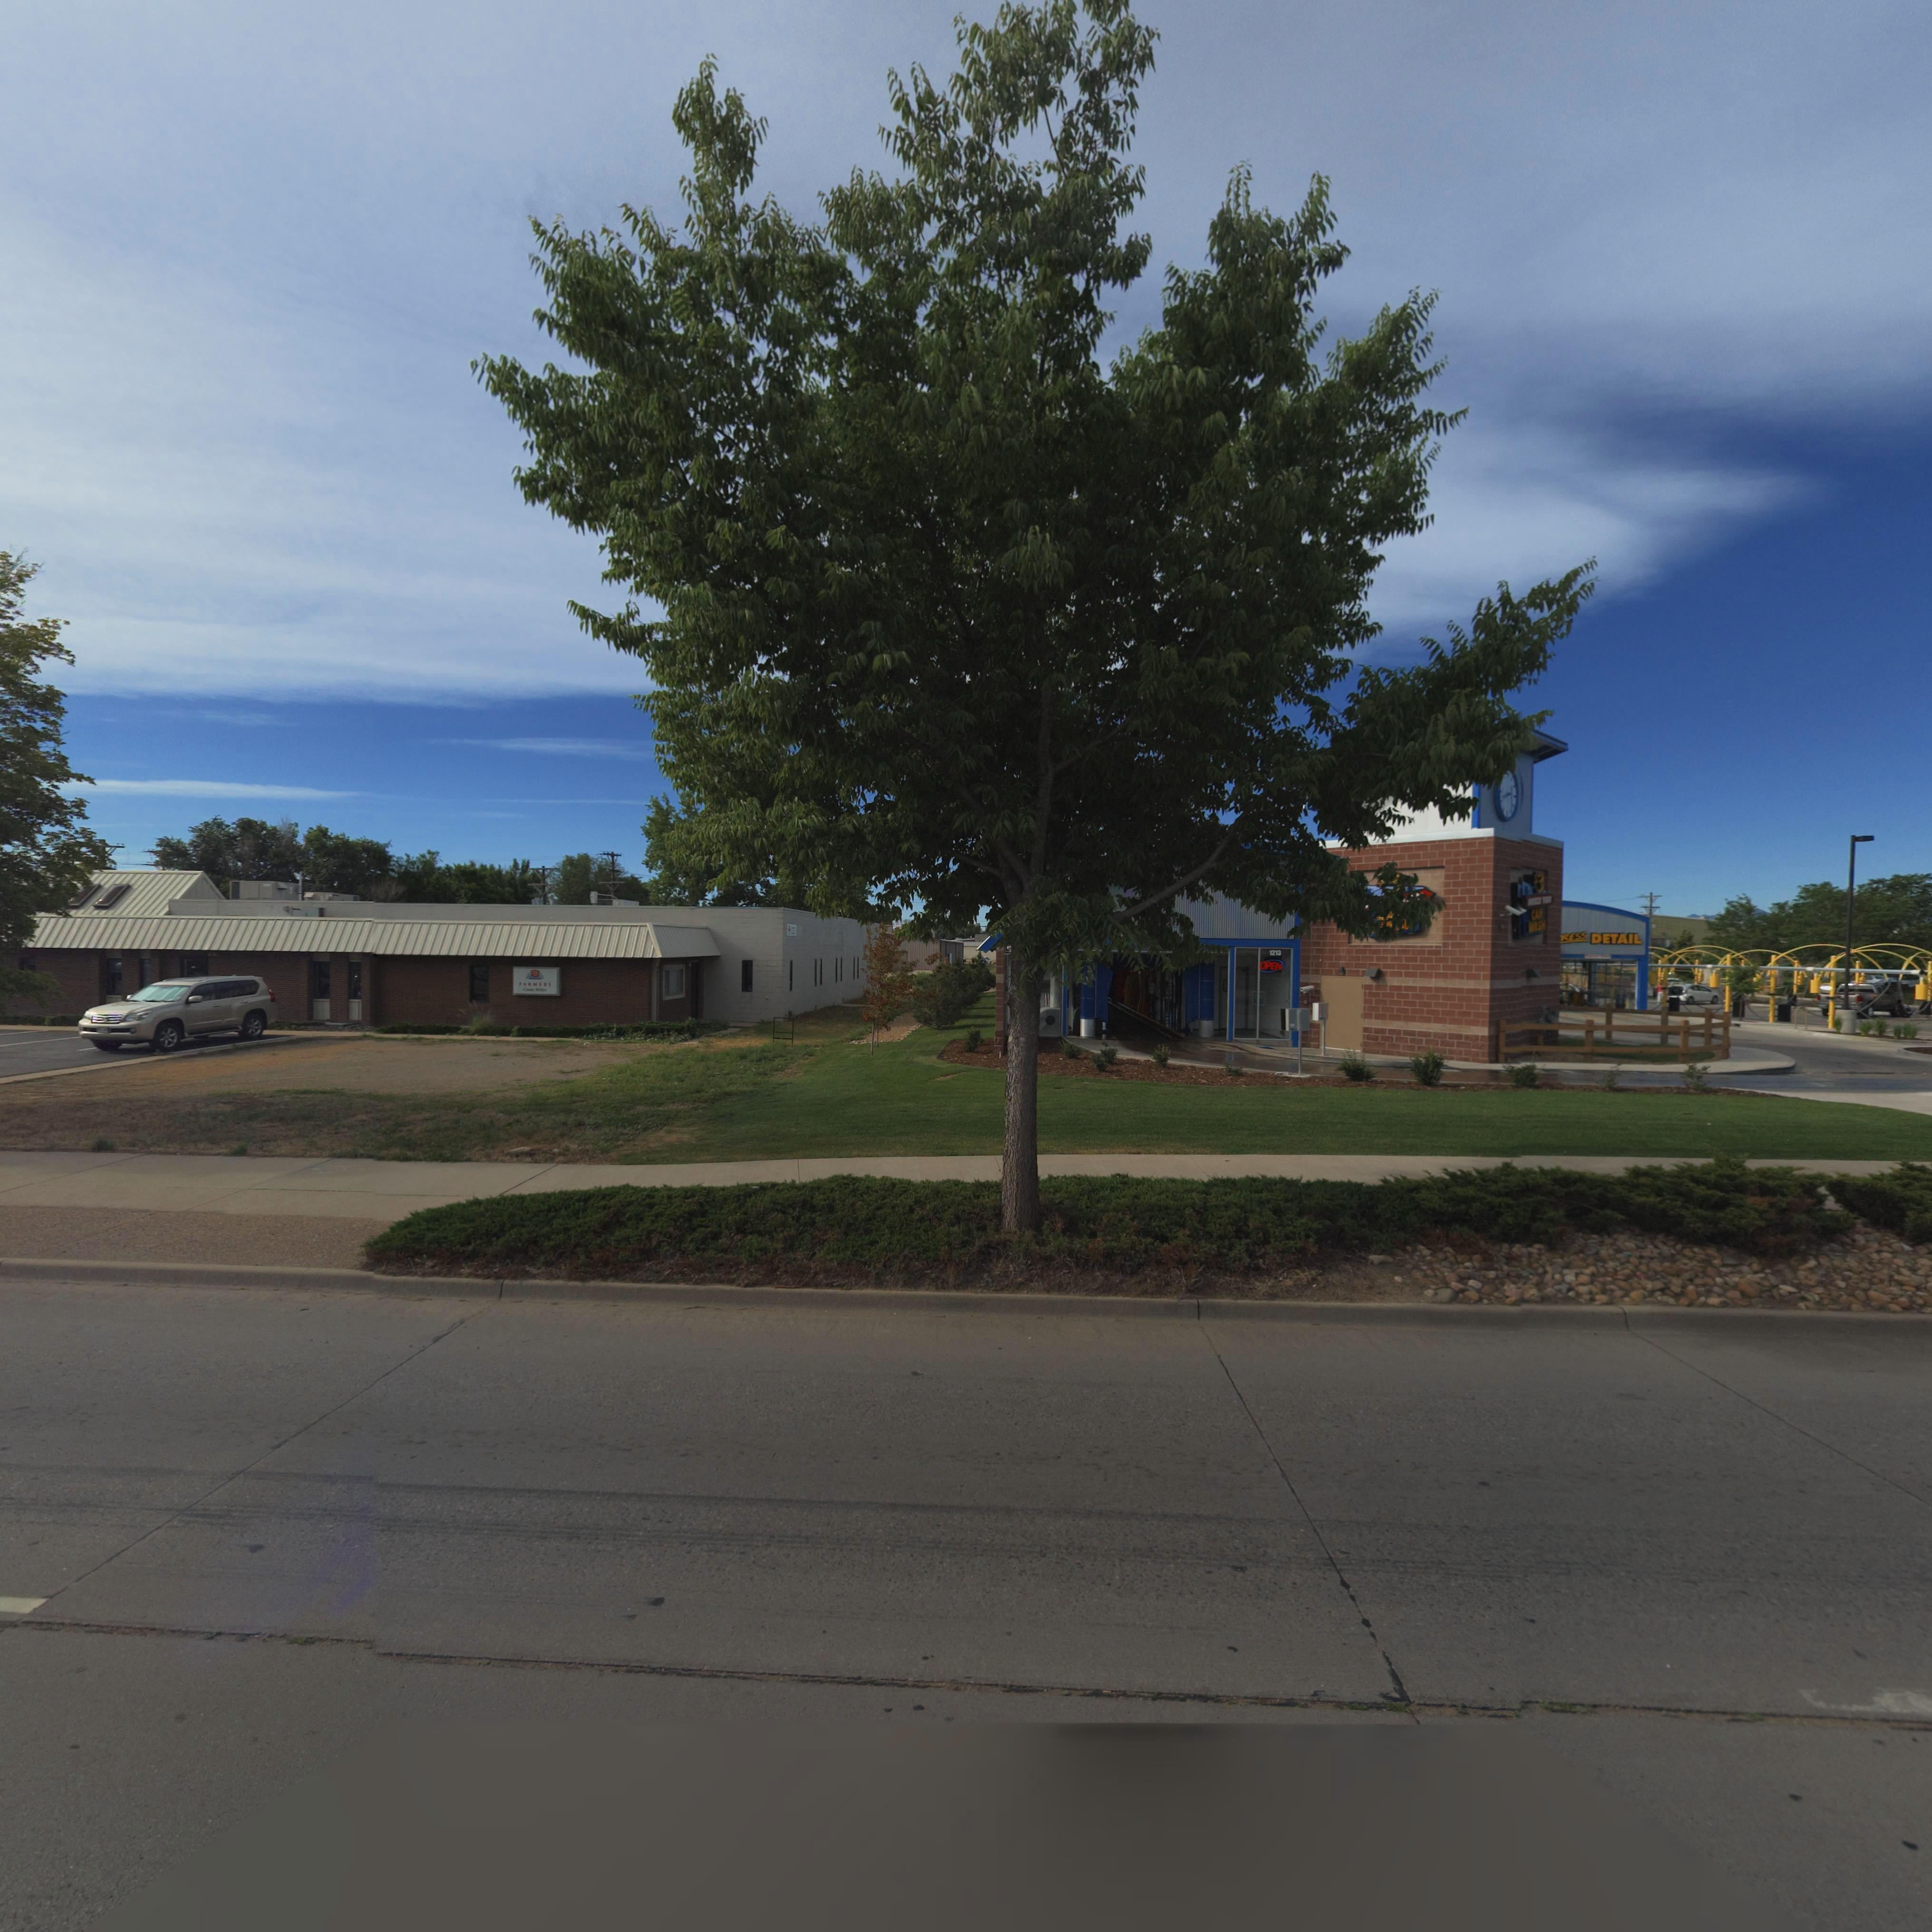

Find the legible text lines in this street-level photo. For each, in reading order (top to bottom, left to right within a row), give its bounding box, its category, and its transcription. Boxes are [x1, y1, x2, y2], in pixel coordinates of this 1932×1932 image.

[1529, 908, 1544, 921] BusinessName: CAR
[1526, 919, 1546, 933] BusinessName: WASH
[1268, 949, 1282, 956] StreetNumber: 1213
[518, 981, 551, 986] BusinessName: FARMERS